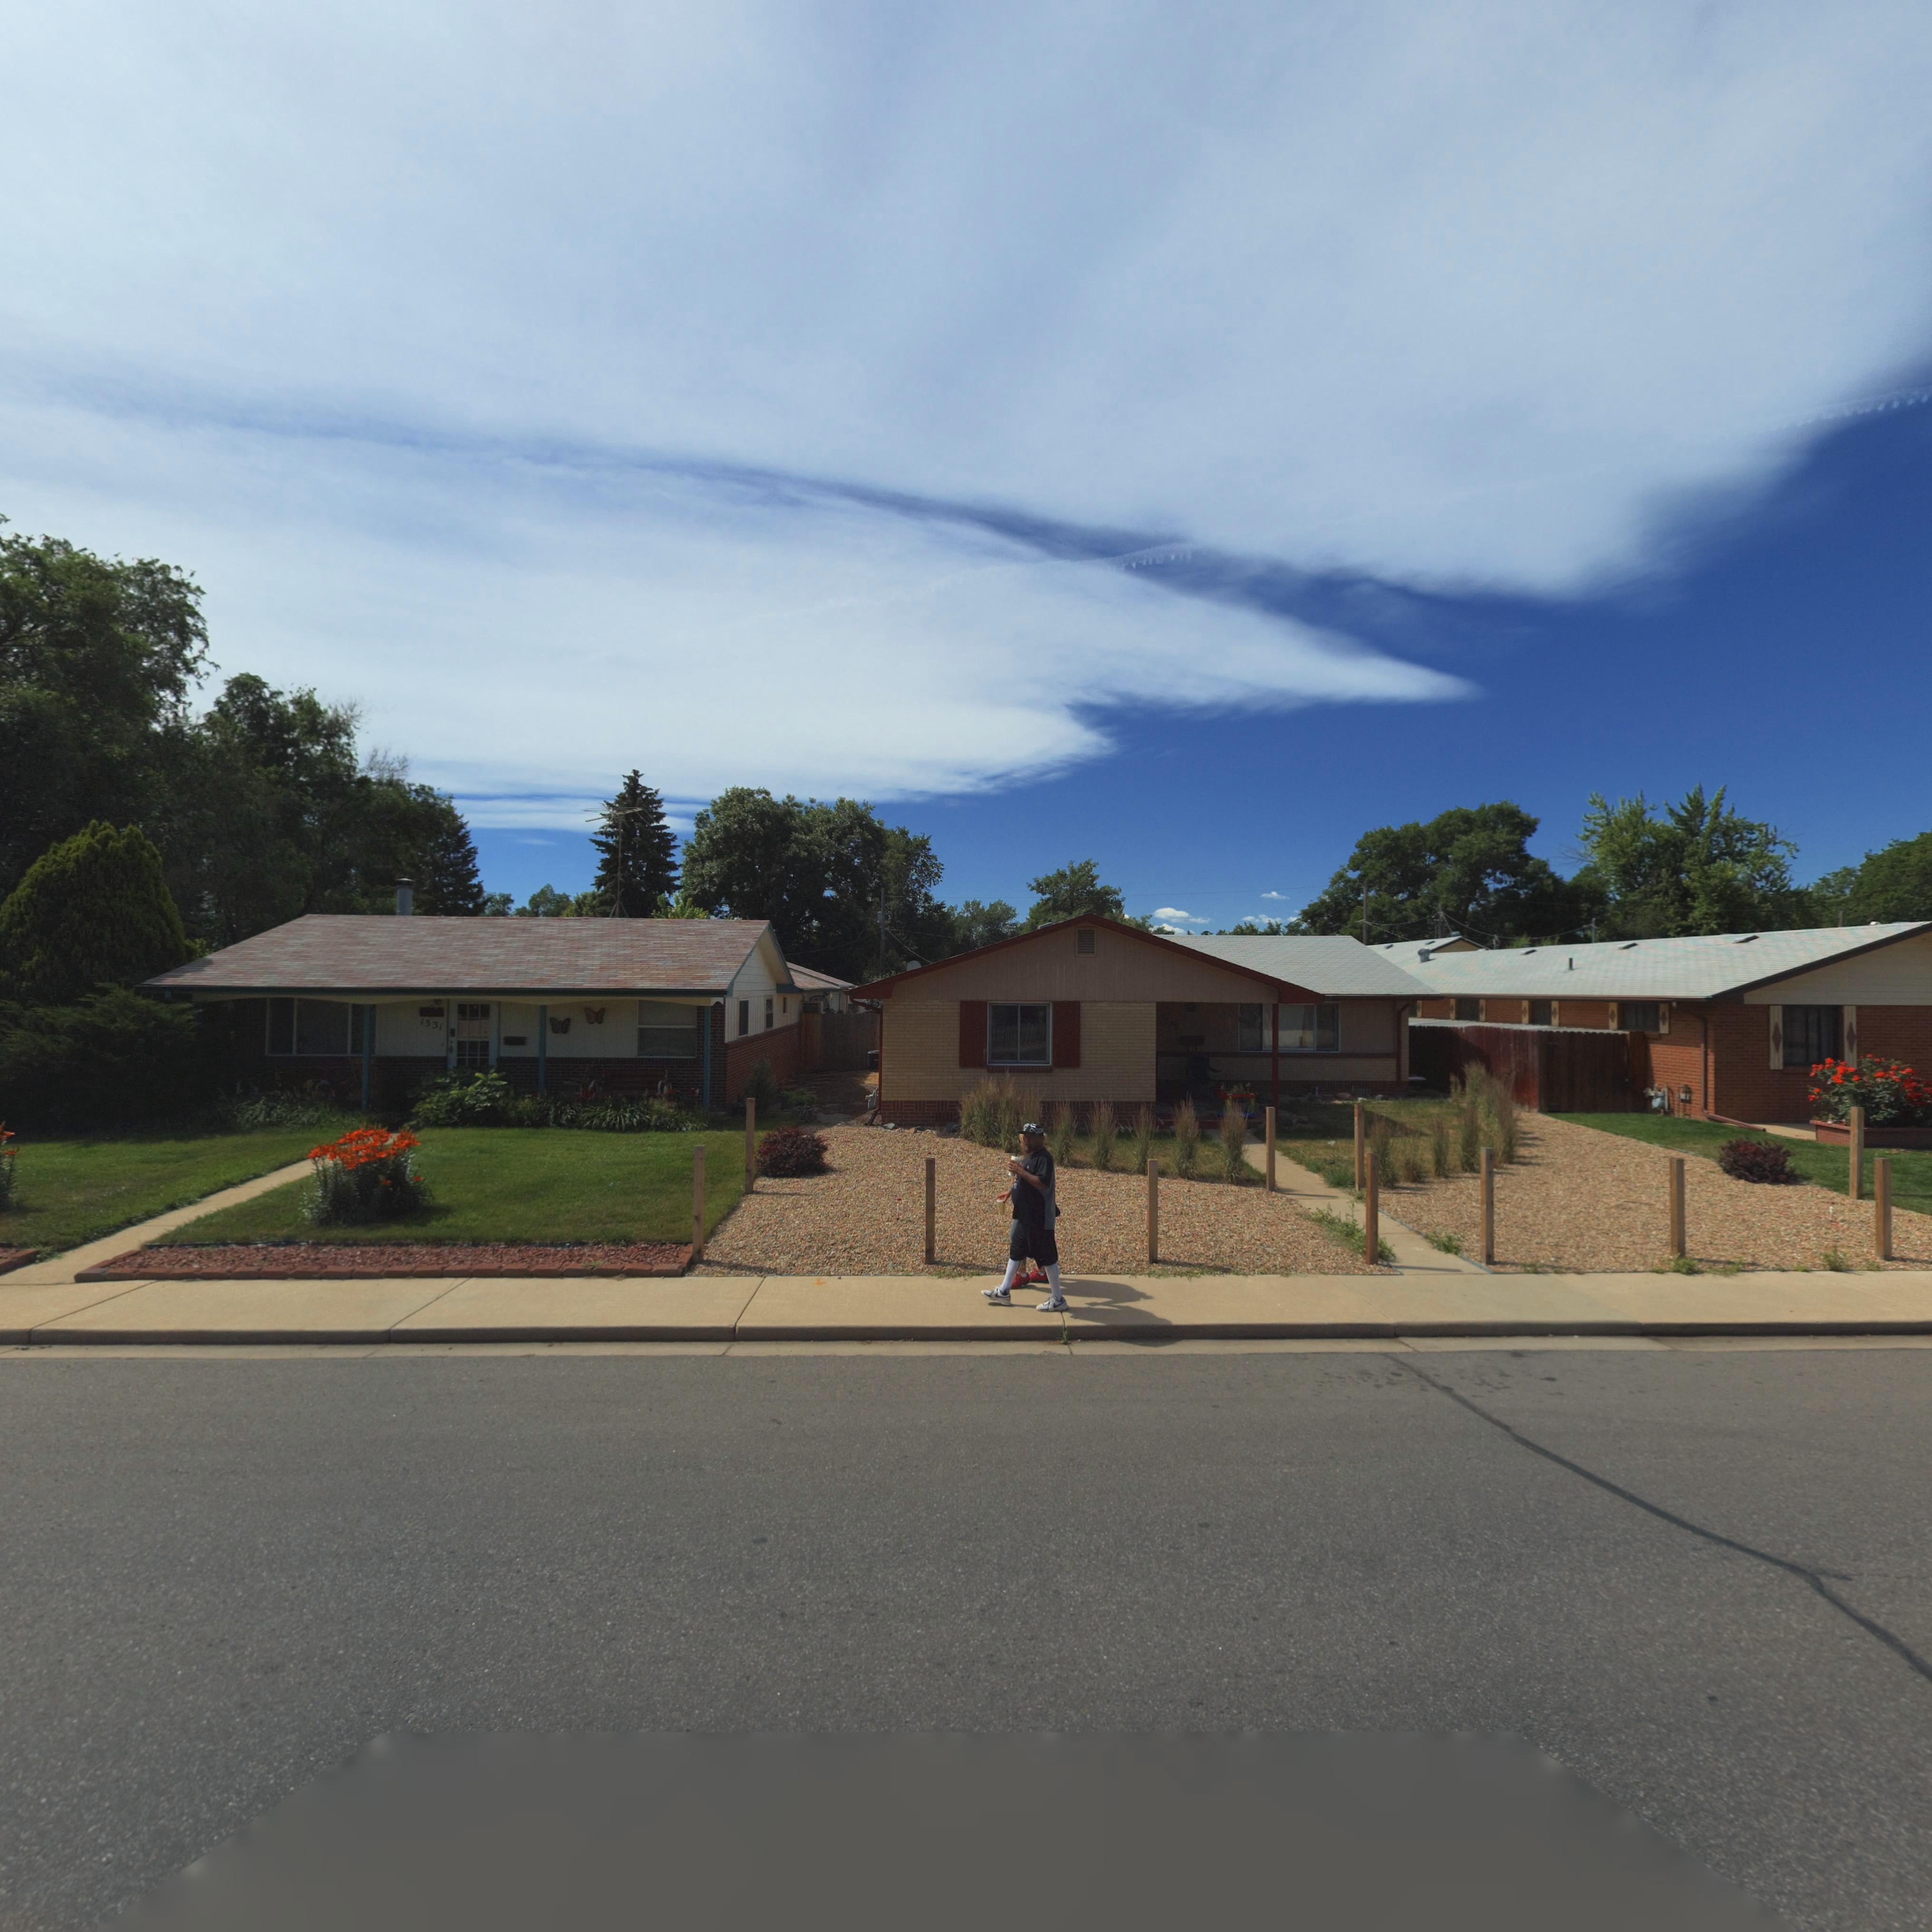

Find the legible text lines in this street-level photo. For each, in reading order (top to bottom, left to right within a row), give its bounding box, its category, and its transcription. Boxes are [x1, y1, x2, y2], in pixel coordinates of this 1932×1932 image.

[420, 1017, 443, 1031] StreetNumber: 1331
[1165, 1016, 1179, 1030] StreetNumber: **3